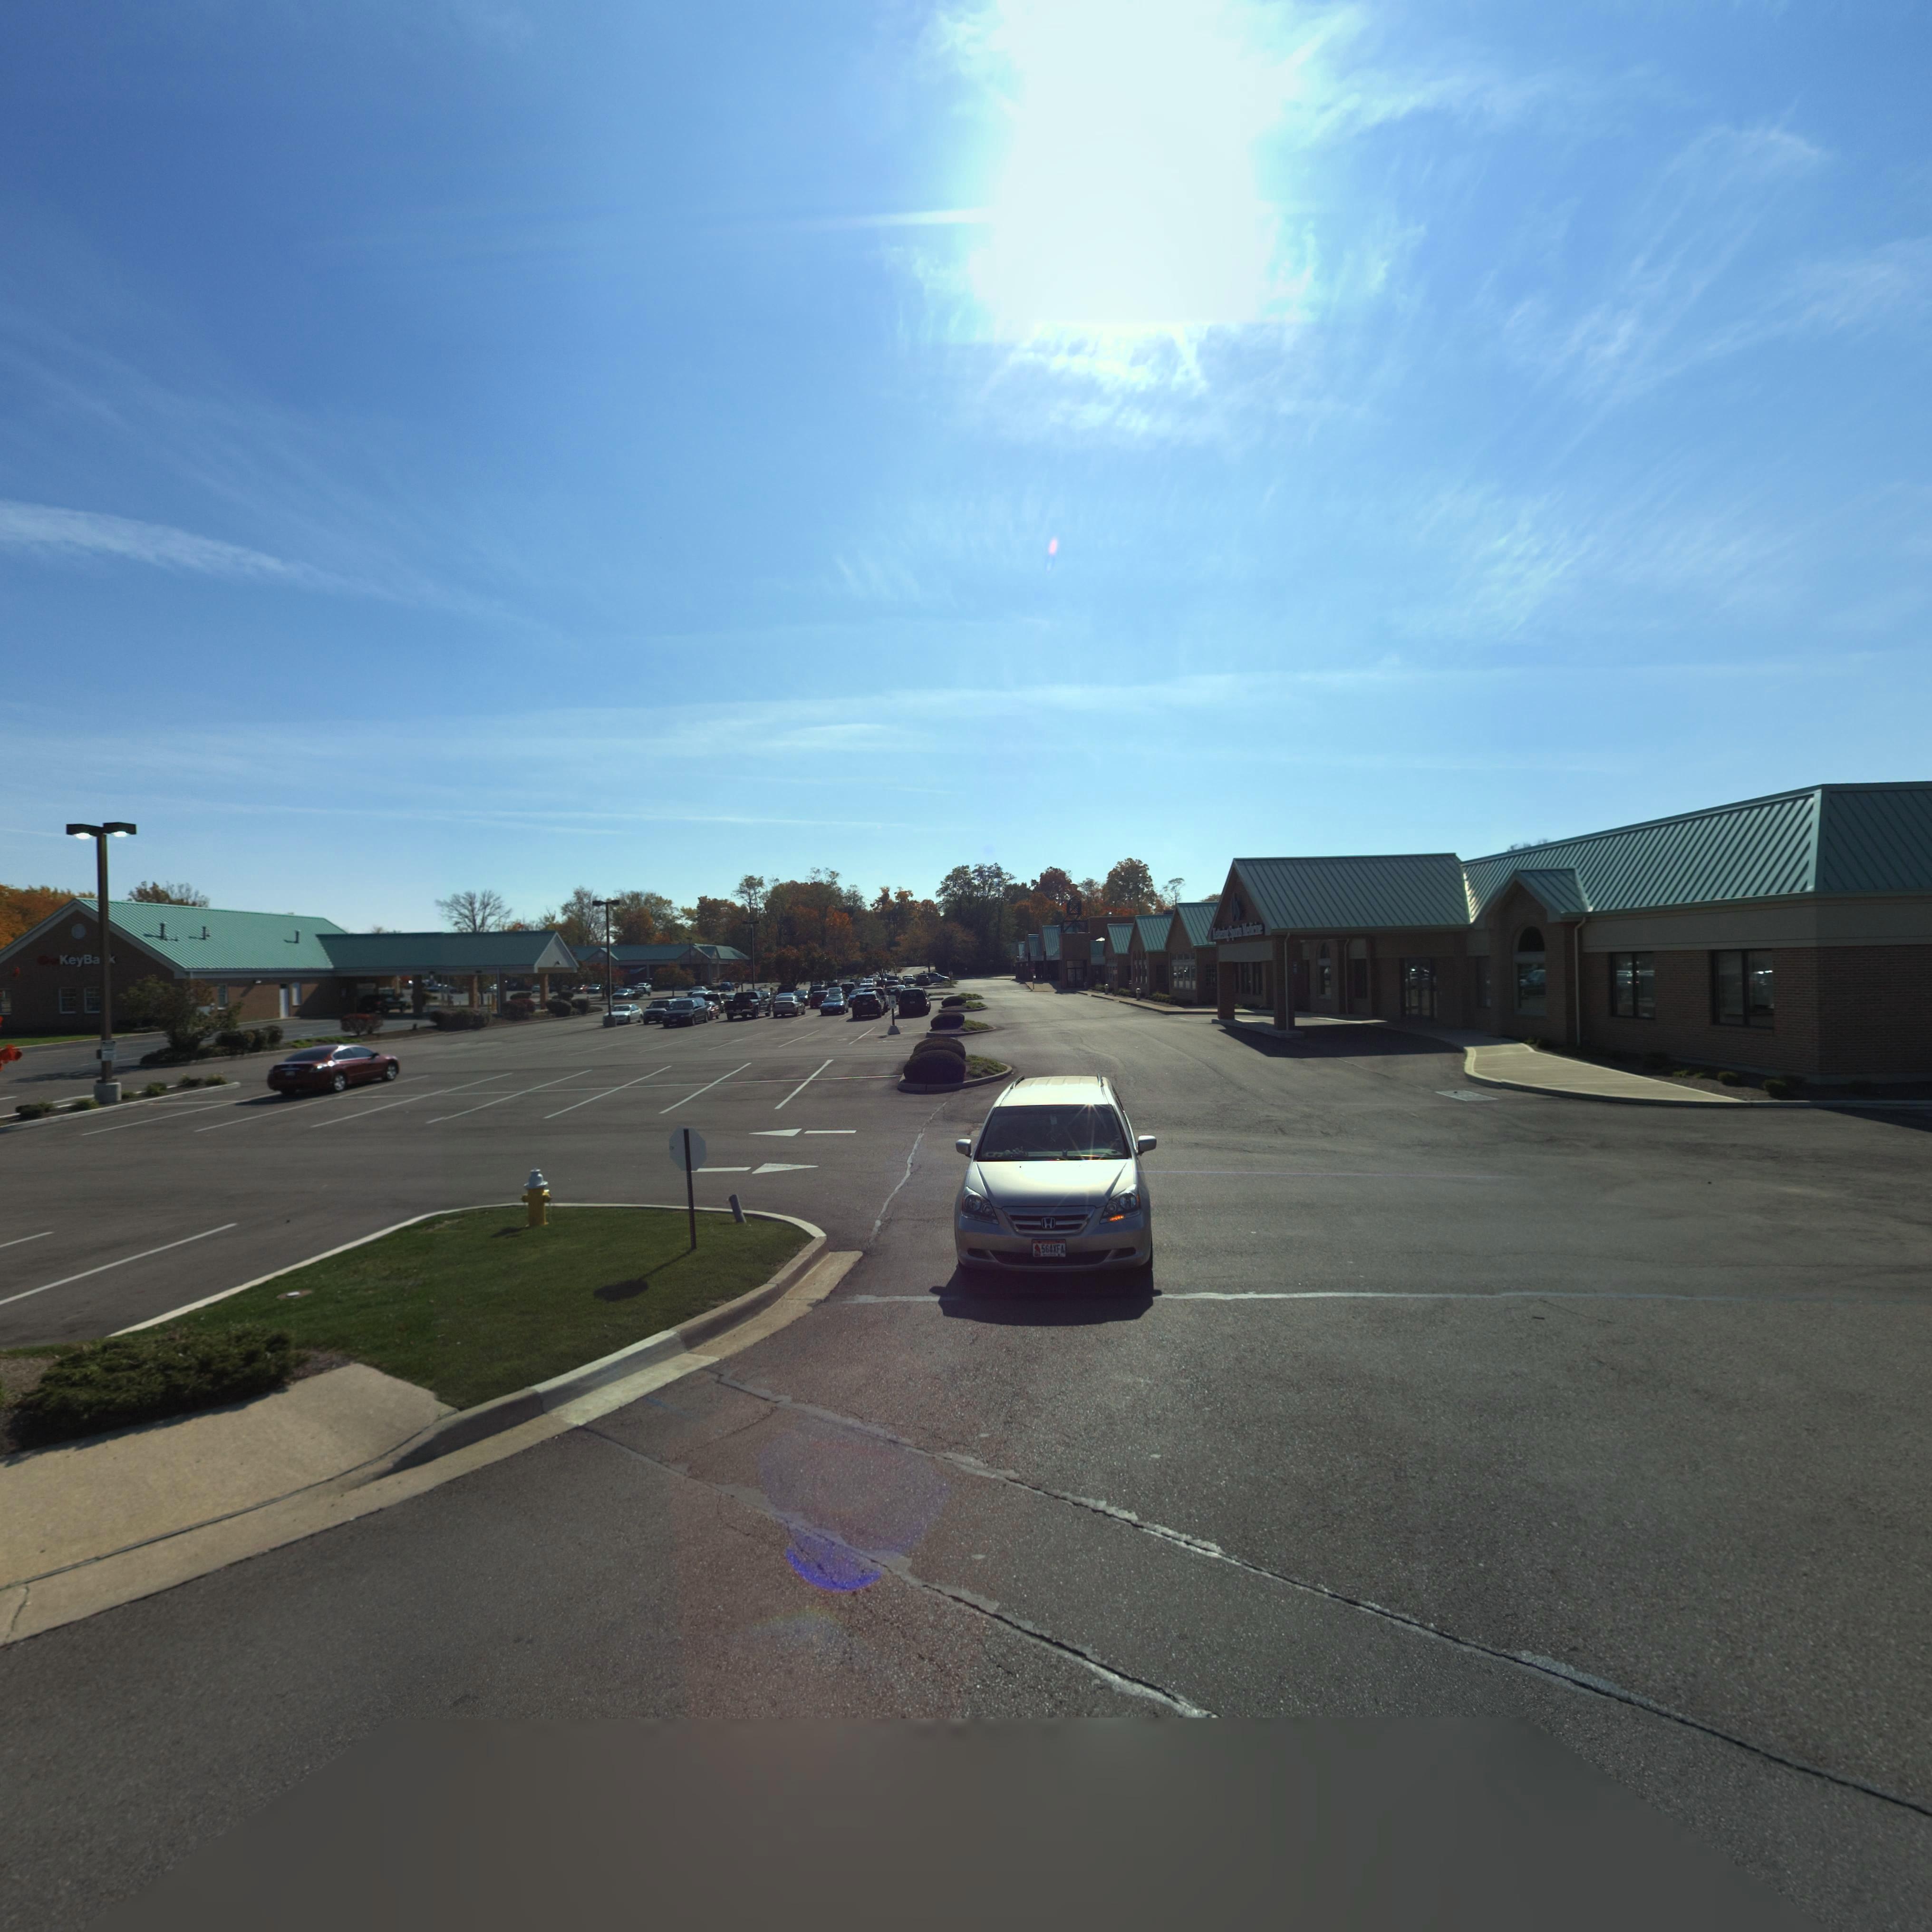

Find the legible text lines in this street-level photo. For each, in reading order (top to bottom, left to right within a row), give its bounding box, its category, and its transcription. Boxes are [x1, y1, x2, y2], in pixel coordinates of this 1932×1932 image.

[58, 953, 100, 968] BusinessName: KeyBa